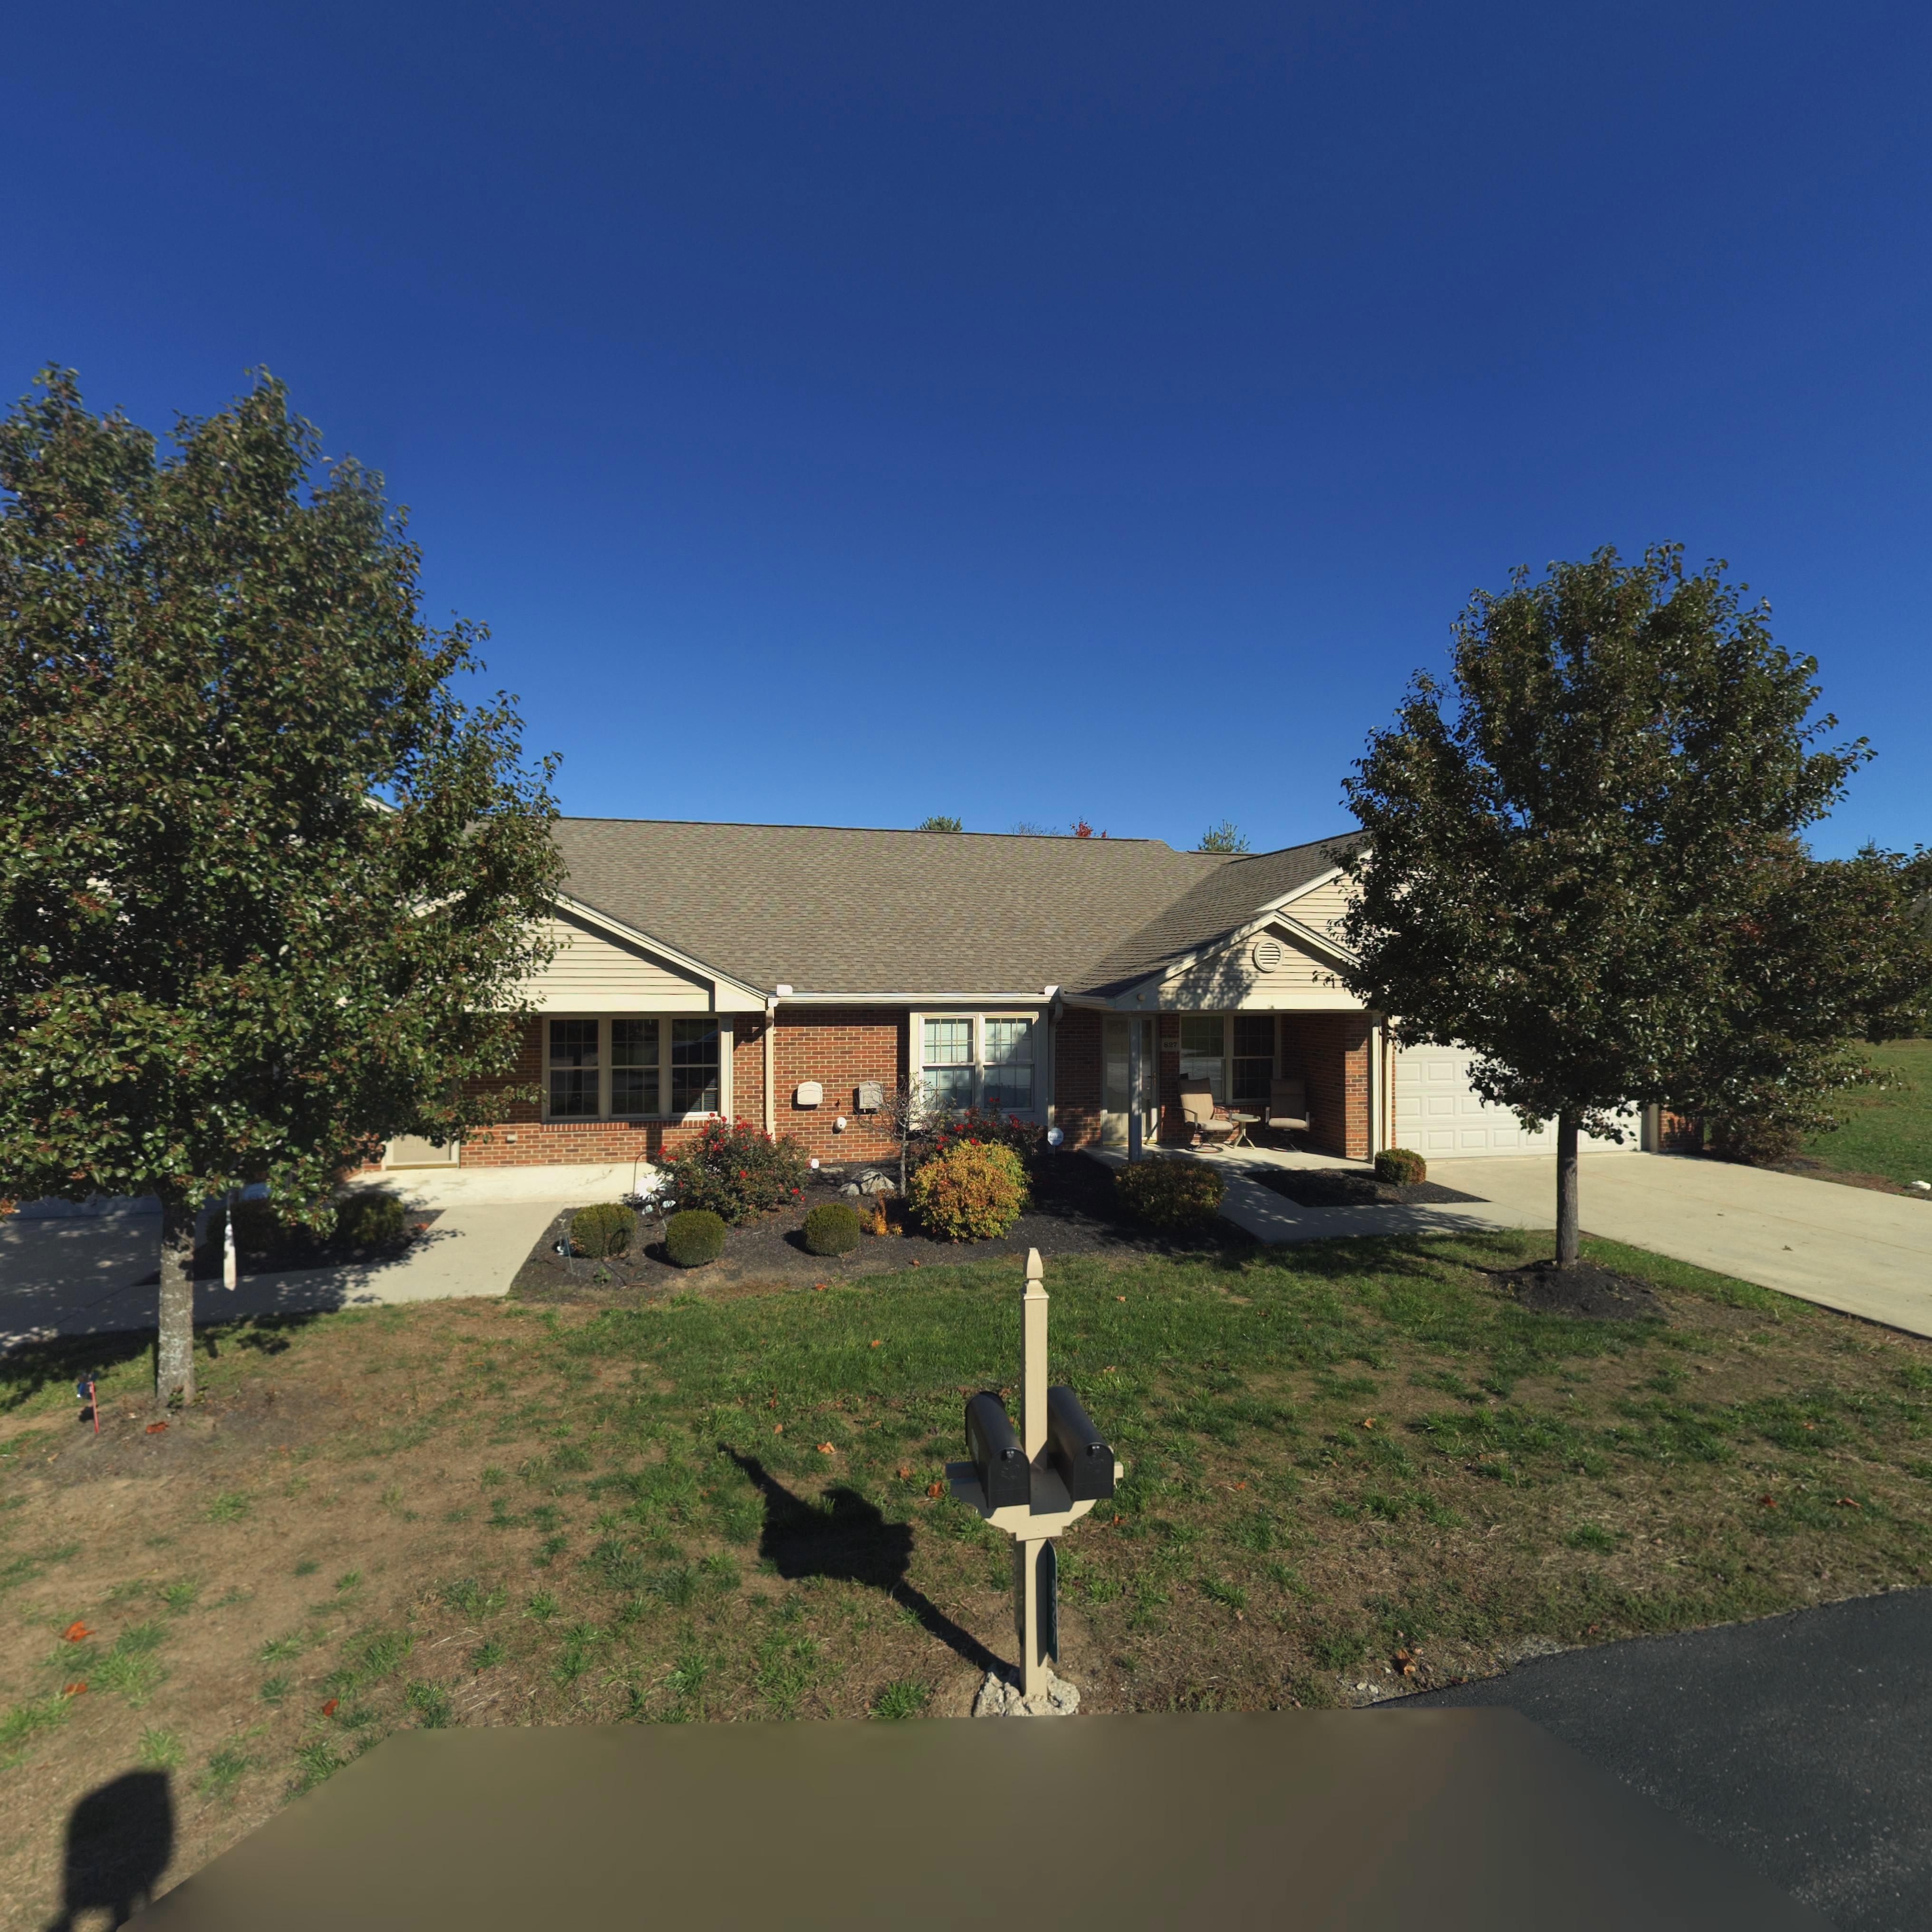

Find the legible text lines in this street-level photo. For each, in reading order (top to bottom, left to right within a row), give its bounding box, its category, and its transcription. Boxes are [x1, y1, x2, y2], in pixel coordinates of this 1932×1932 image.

[1163, 1041, 1177, 1048] StreetNumber: 827
[1051, 1576, 1056, 1646] StreetNumber: 827